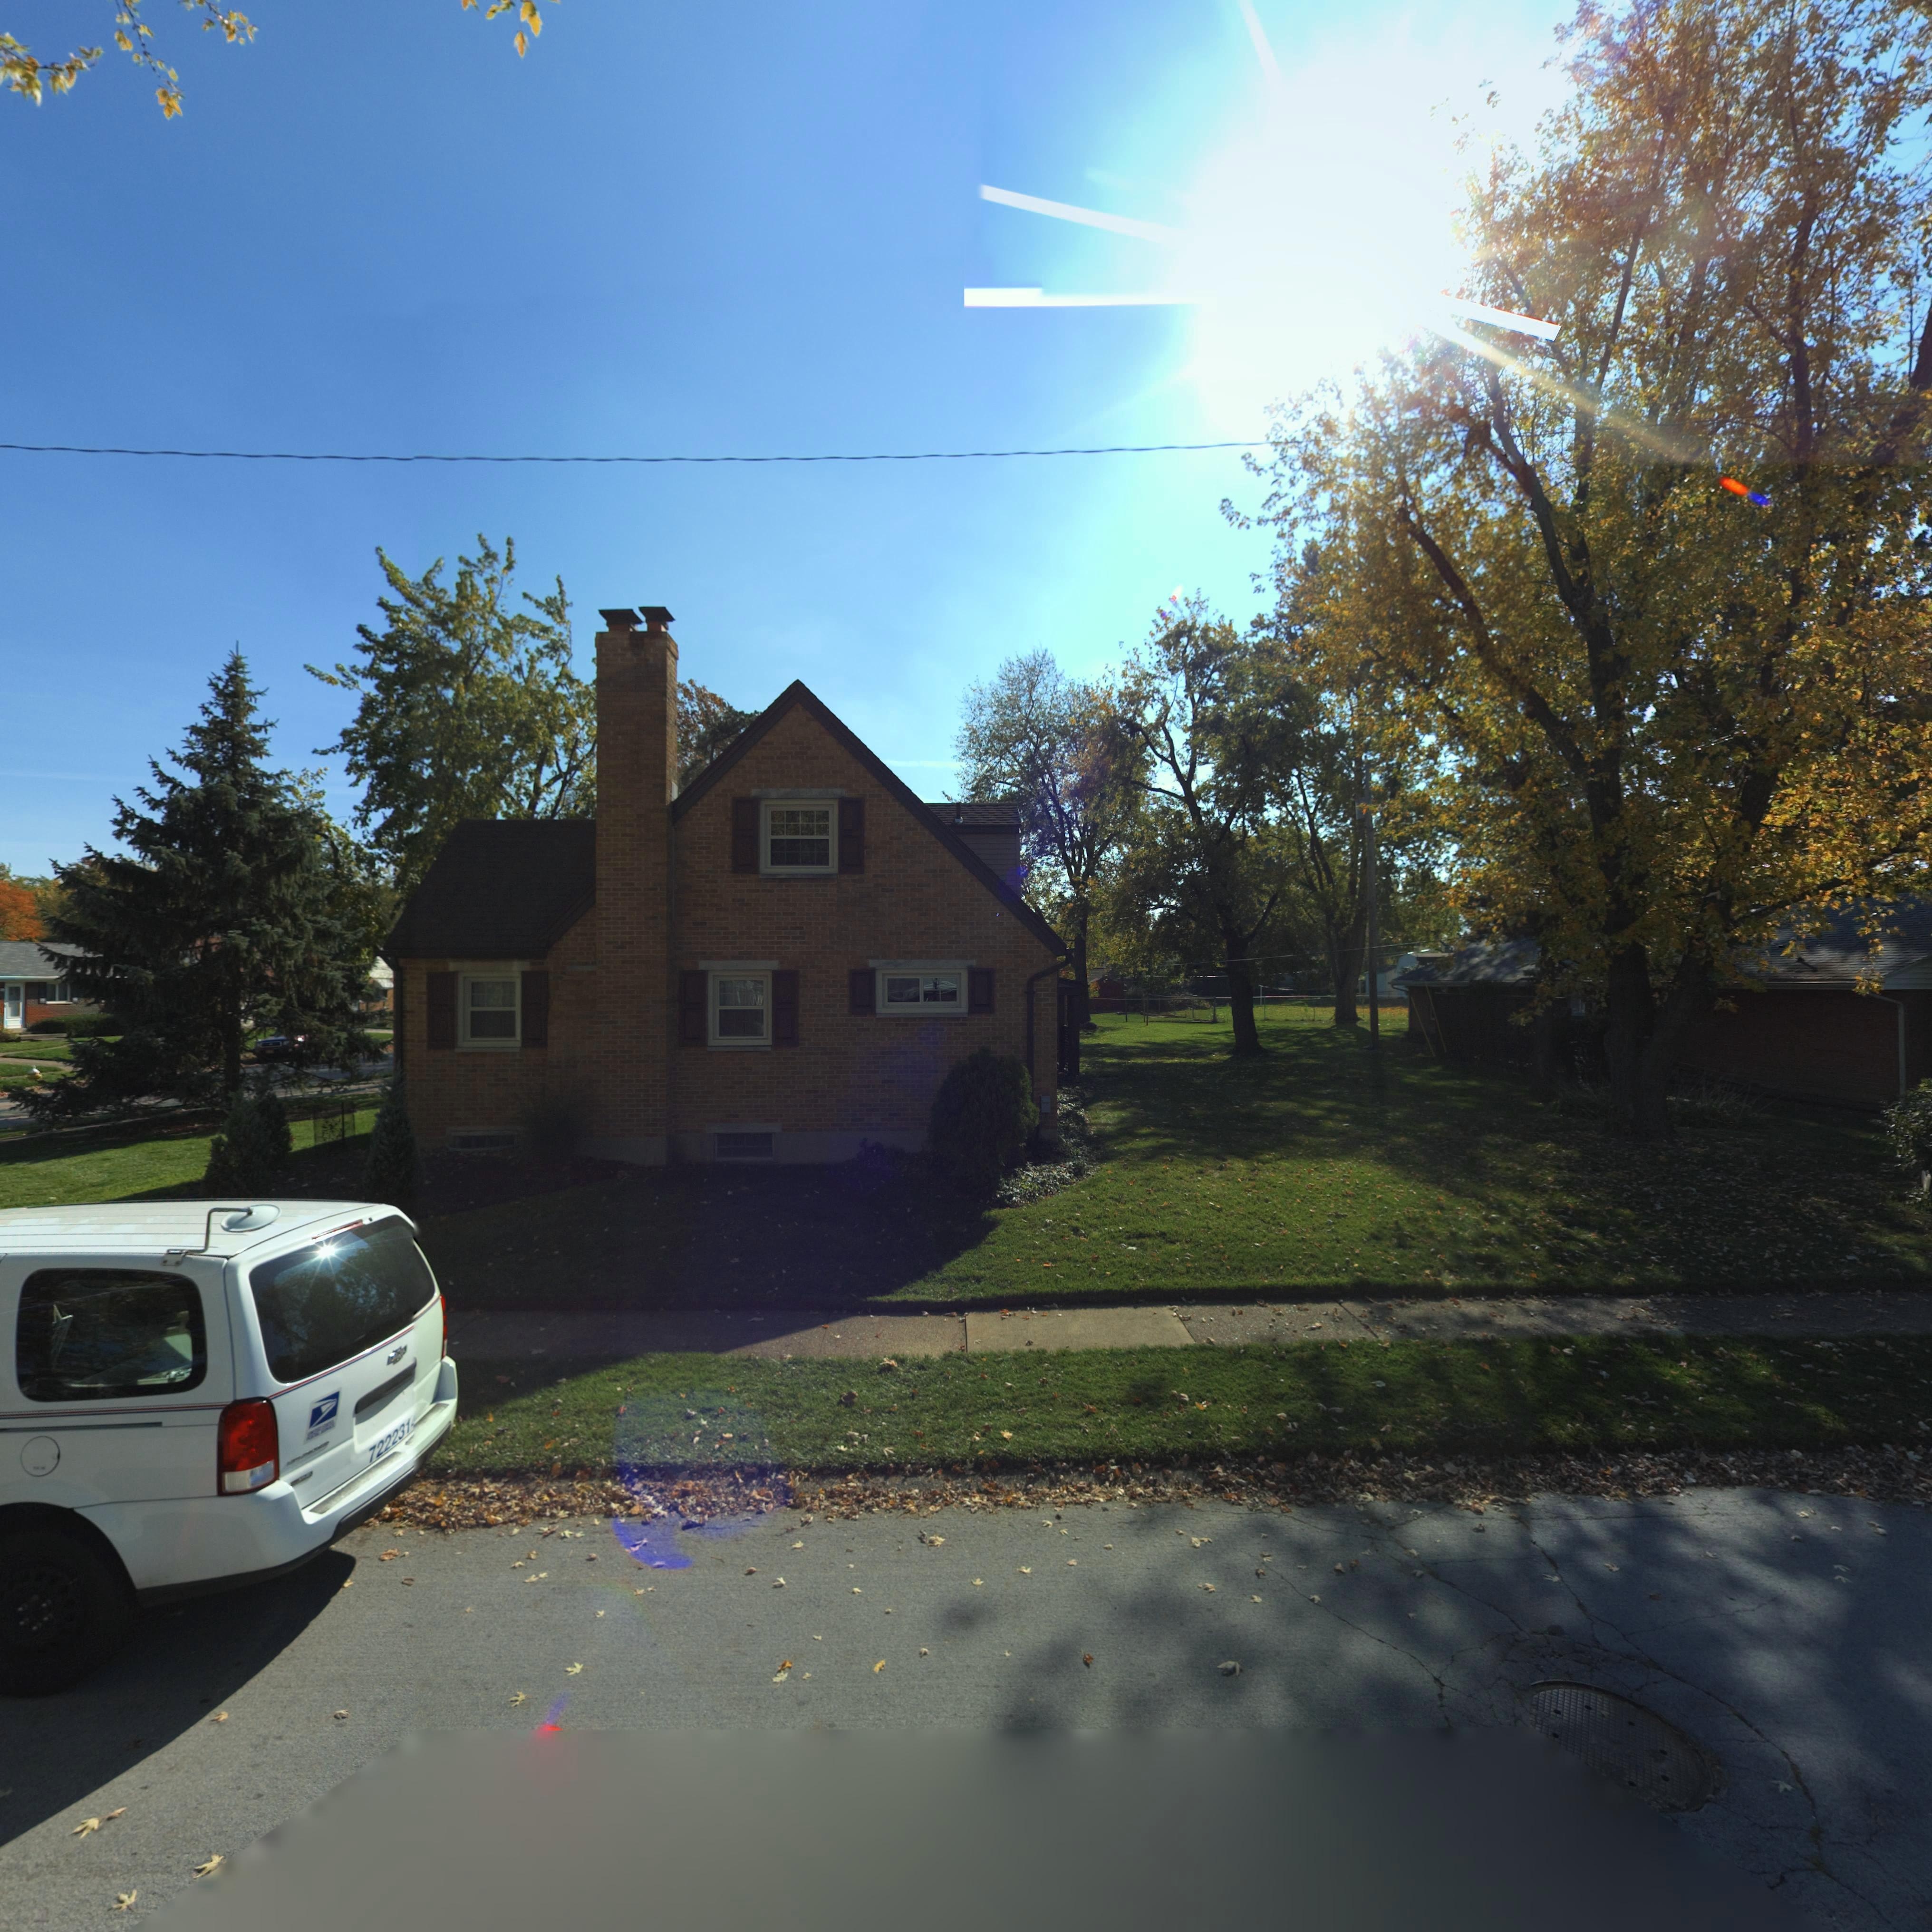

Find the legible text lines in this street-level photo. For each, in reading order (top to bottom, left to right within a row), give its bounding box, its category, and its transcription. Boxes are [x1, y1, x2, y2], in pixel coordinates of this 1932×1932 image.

[368, 1417, 410, 1465] None: 722231